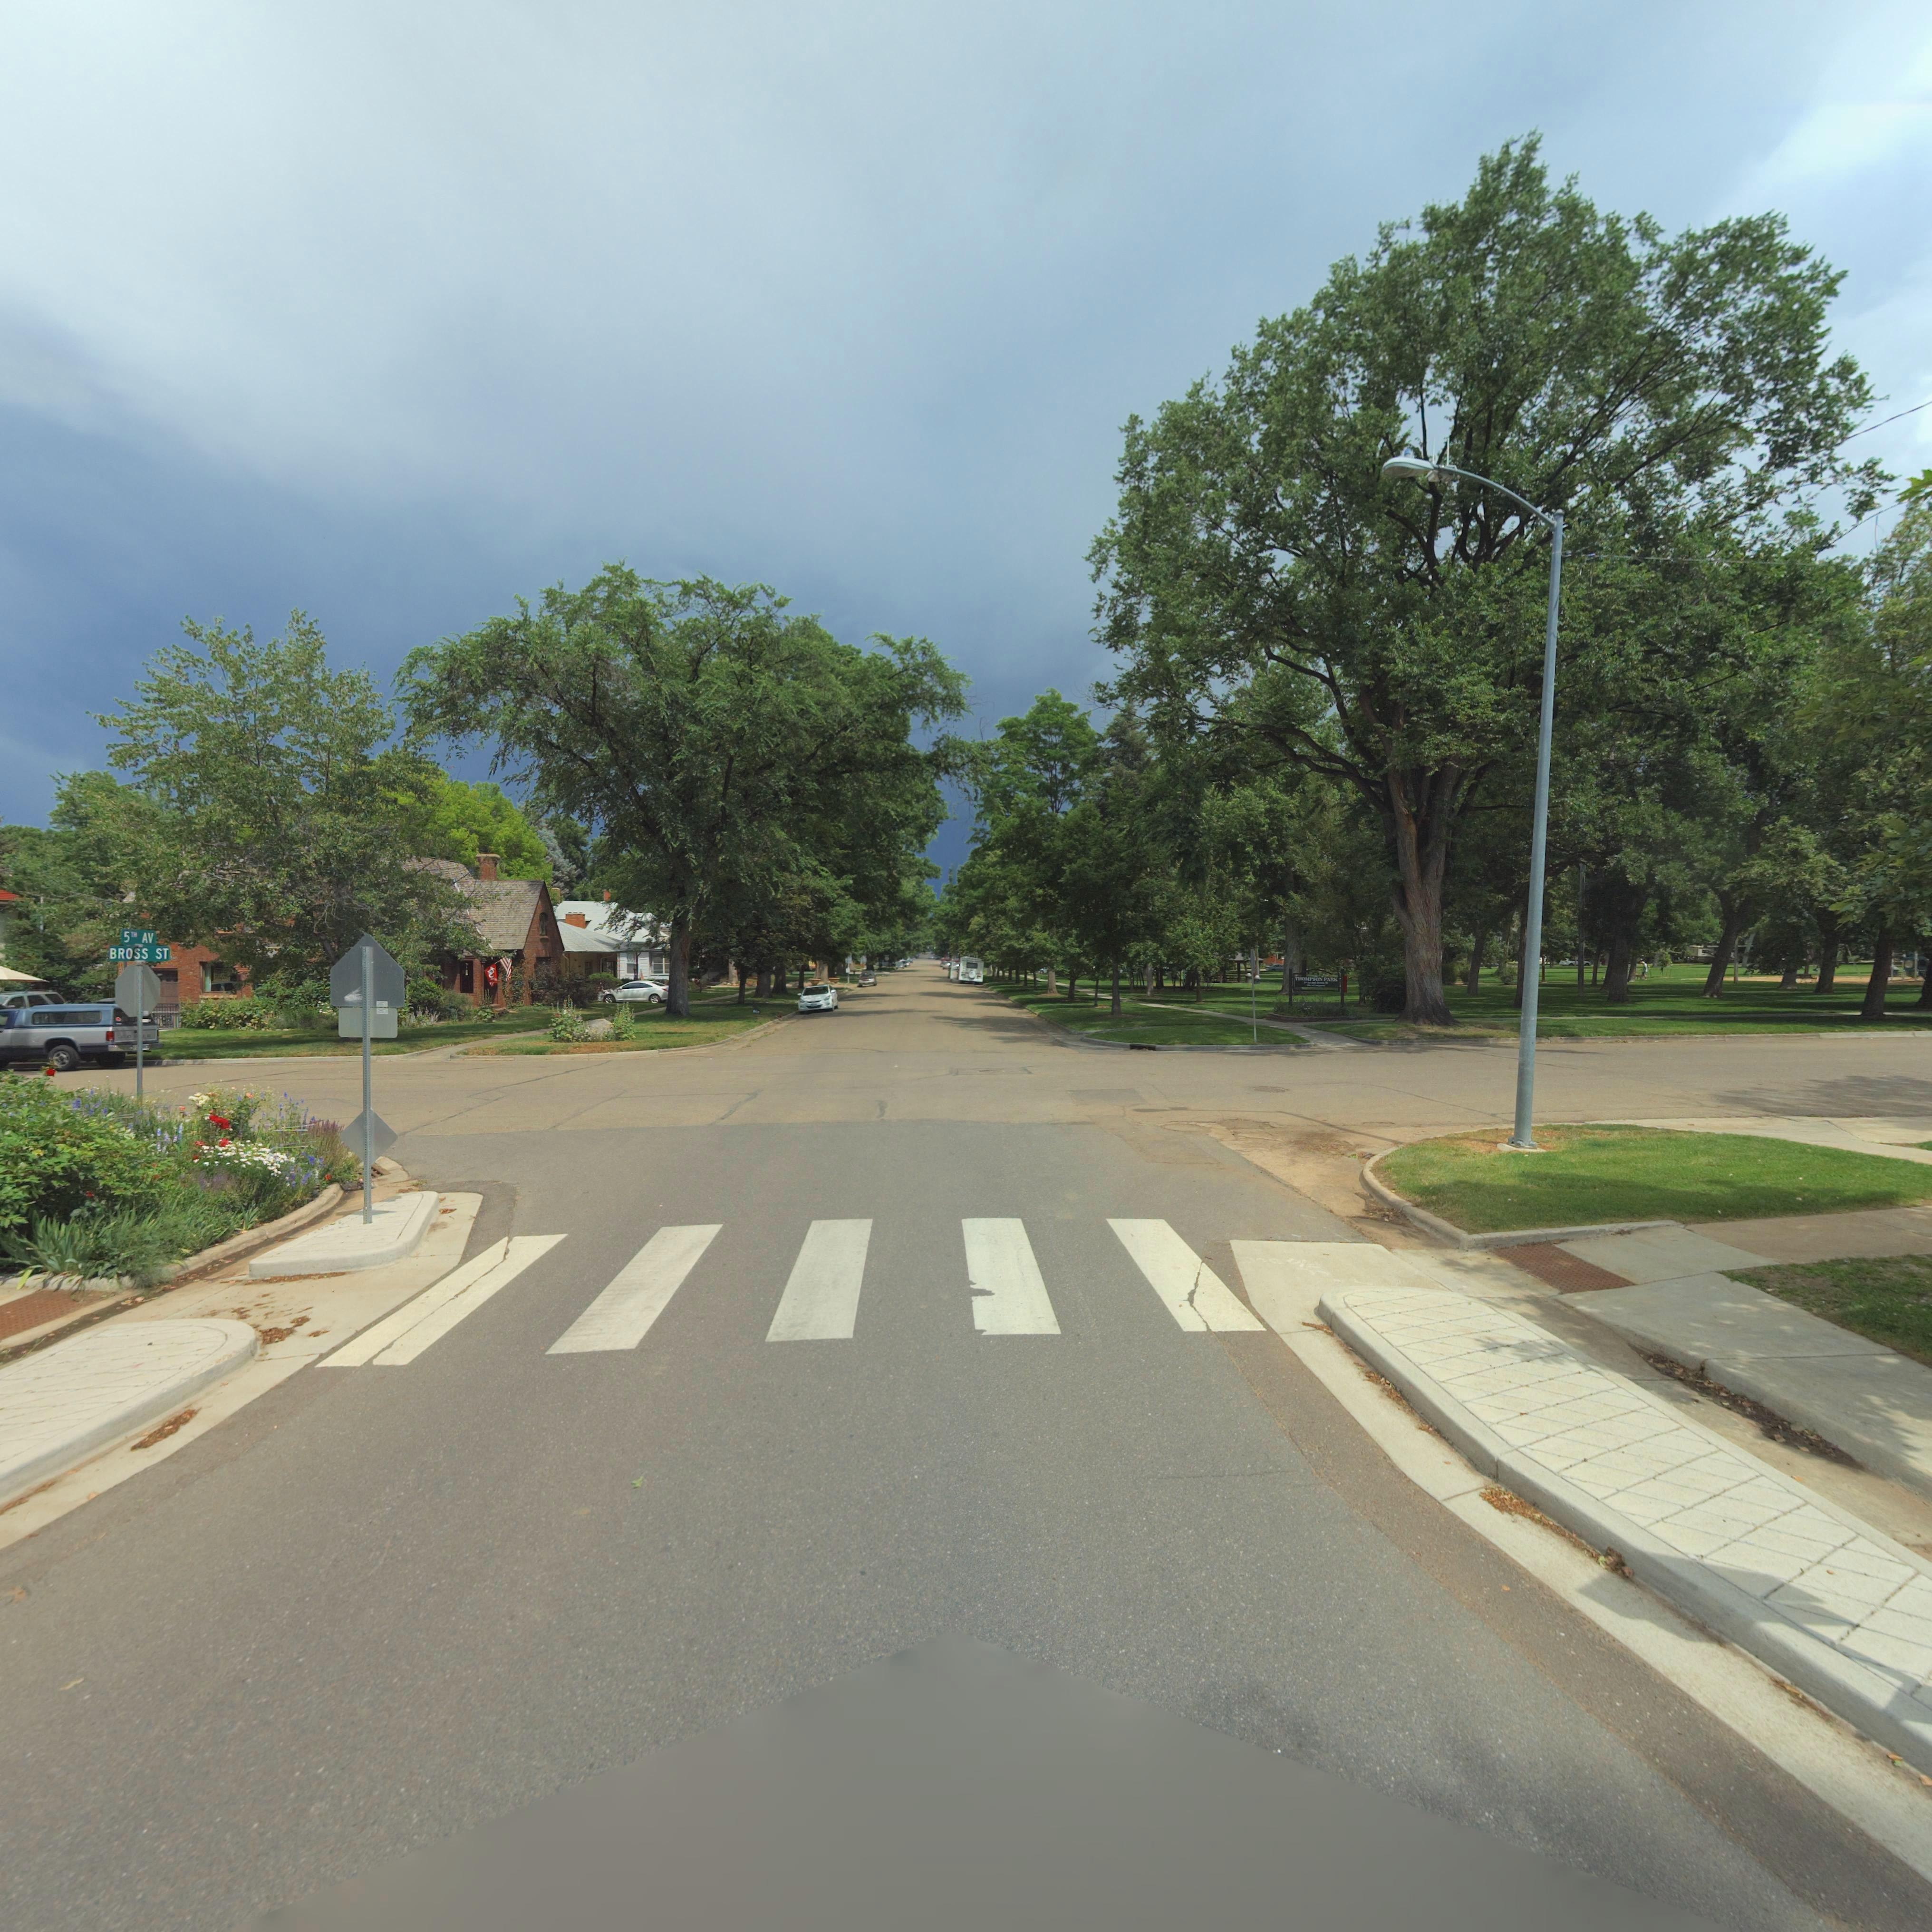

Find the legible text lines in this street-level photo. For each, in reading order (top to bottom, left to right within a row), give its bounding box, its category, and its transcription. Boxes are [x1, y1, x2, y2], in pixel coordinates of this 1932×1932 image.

[123, 930, 154, 944] StreetName: 5TH AV
[109, 947, 169, 959] StreetName: BROSS ST